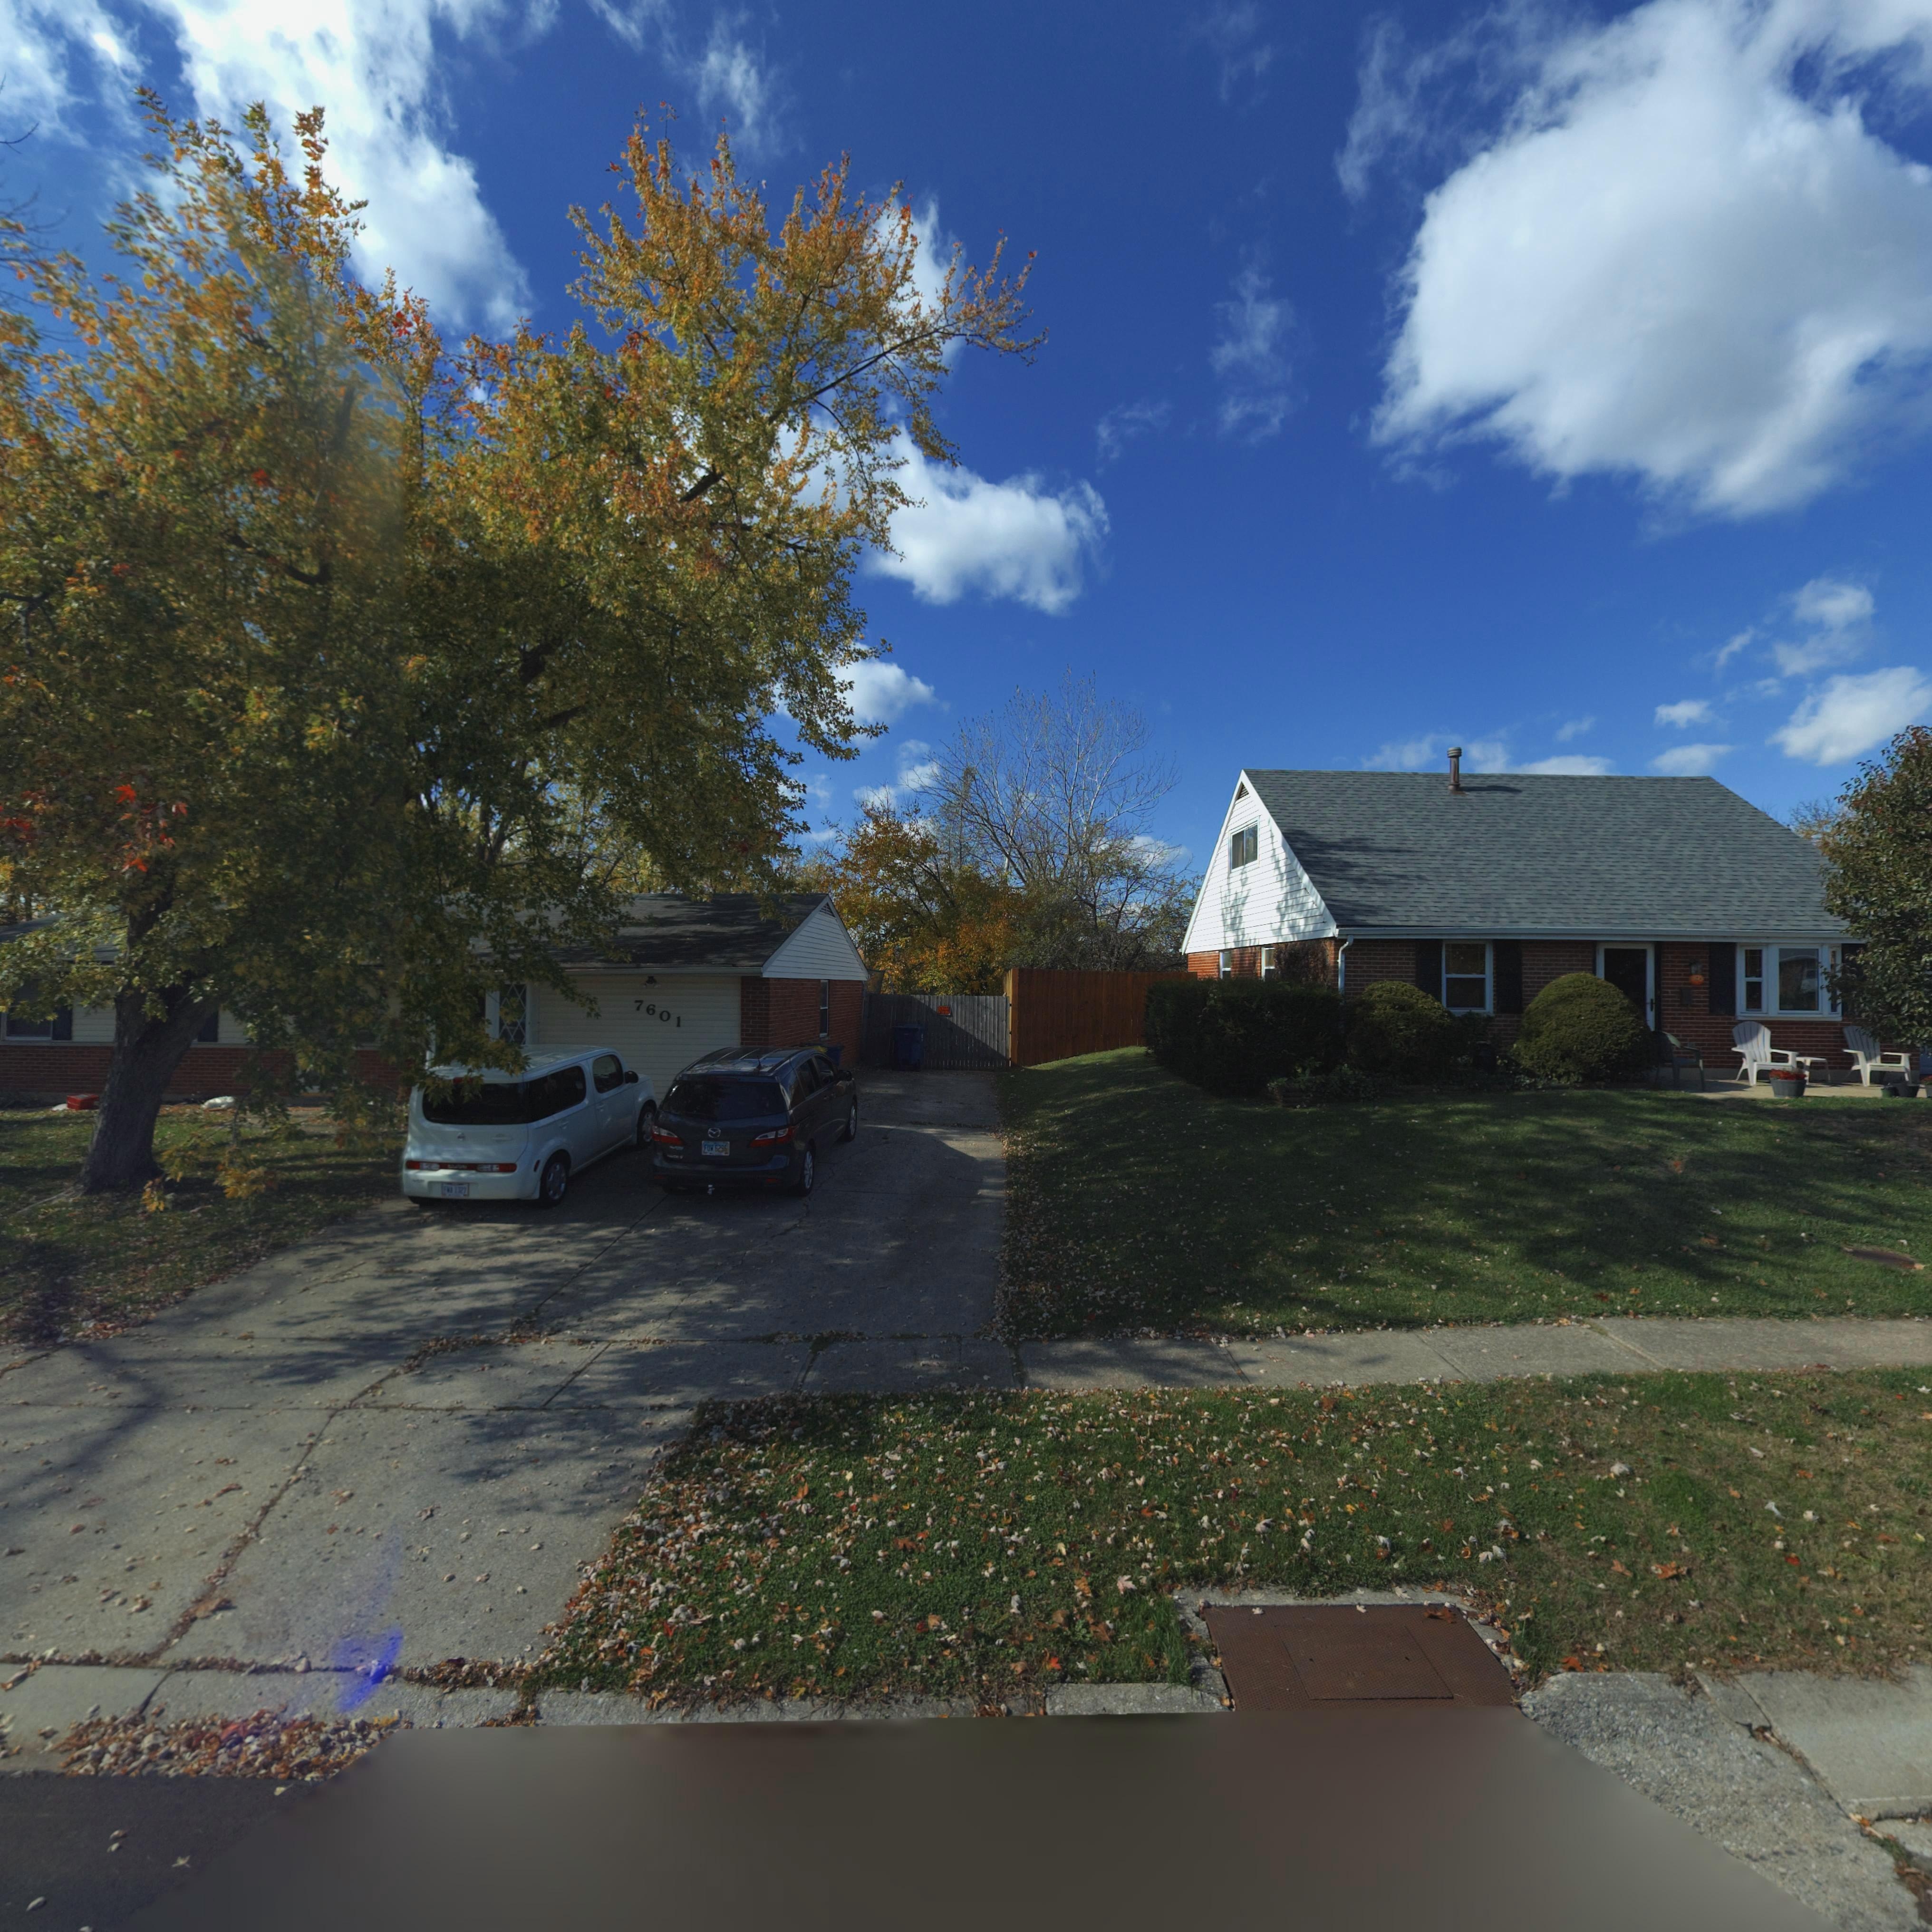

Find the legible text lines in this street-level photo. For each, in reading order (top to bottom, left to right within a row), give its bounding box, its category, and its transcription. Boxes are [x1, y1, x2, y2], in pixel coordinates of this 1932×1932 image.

[633, 999, 681, 1028] StreetNumber: 7601